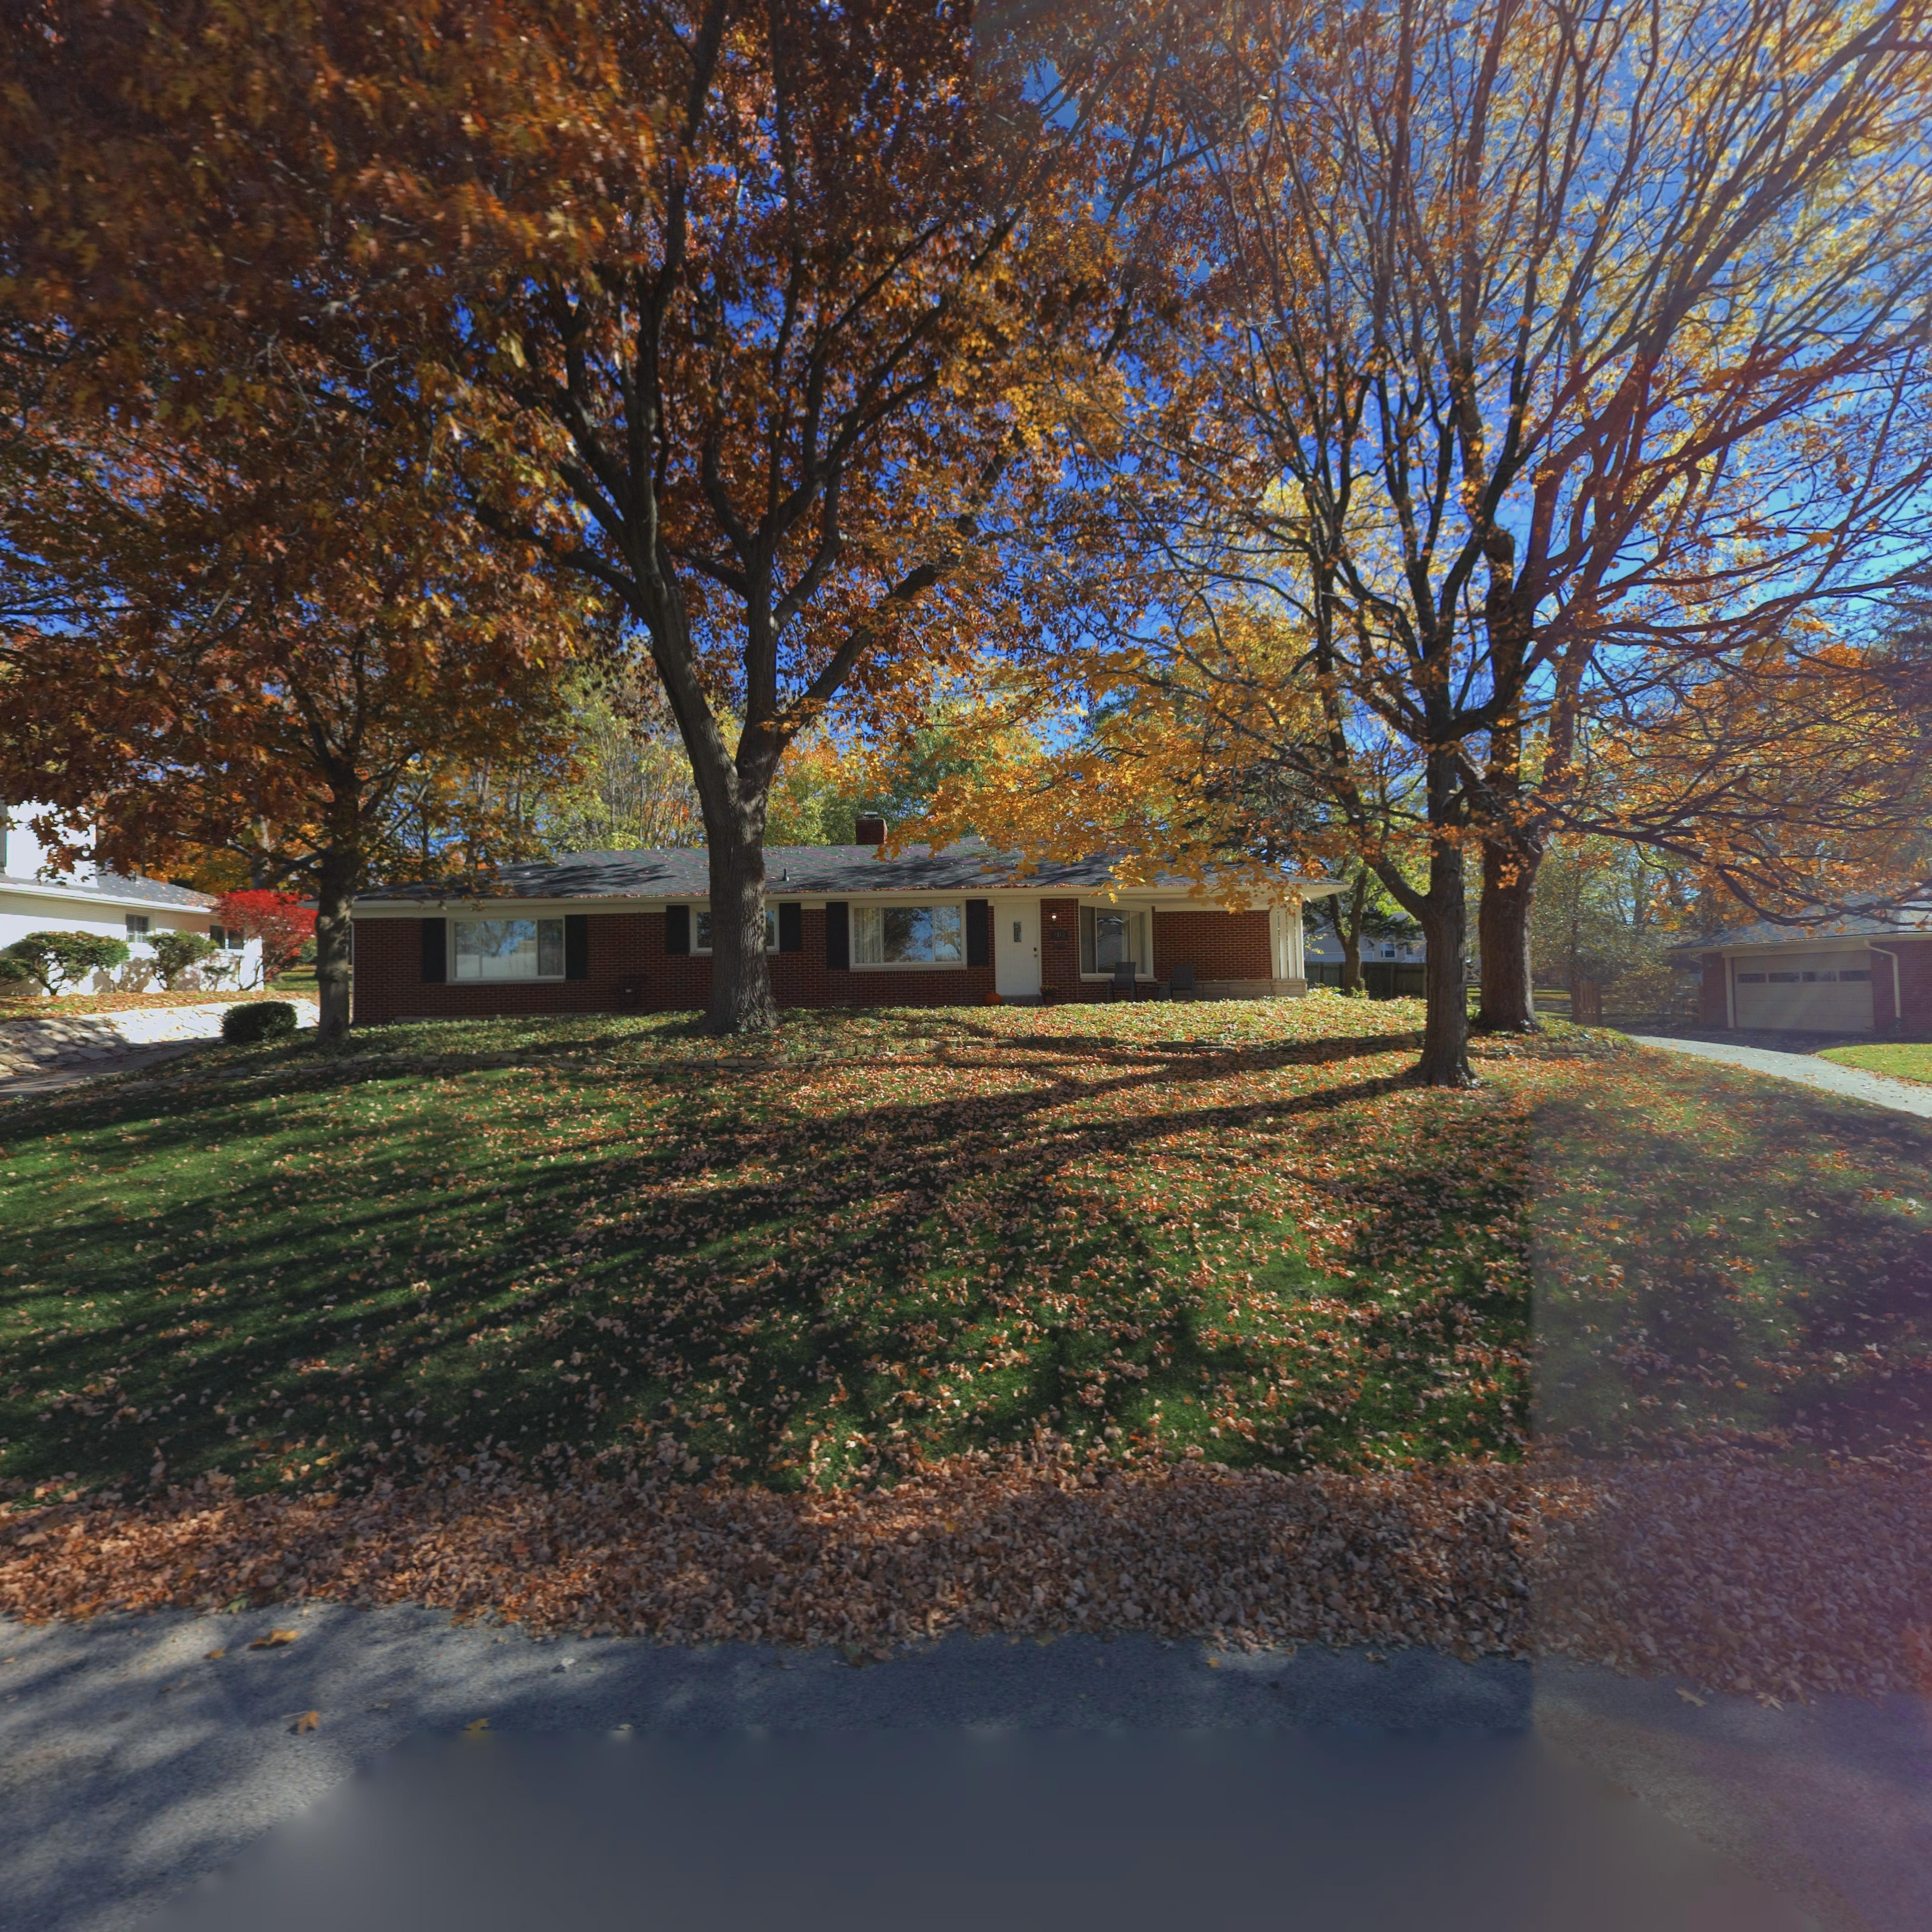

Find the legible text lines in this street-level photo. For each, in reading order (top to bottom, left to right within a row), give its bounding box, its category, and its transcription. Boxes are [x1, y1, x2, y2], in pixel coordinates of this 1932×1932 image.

[1053, 931, 1066, 937] StreetNumber: 4112